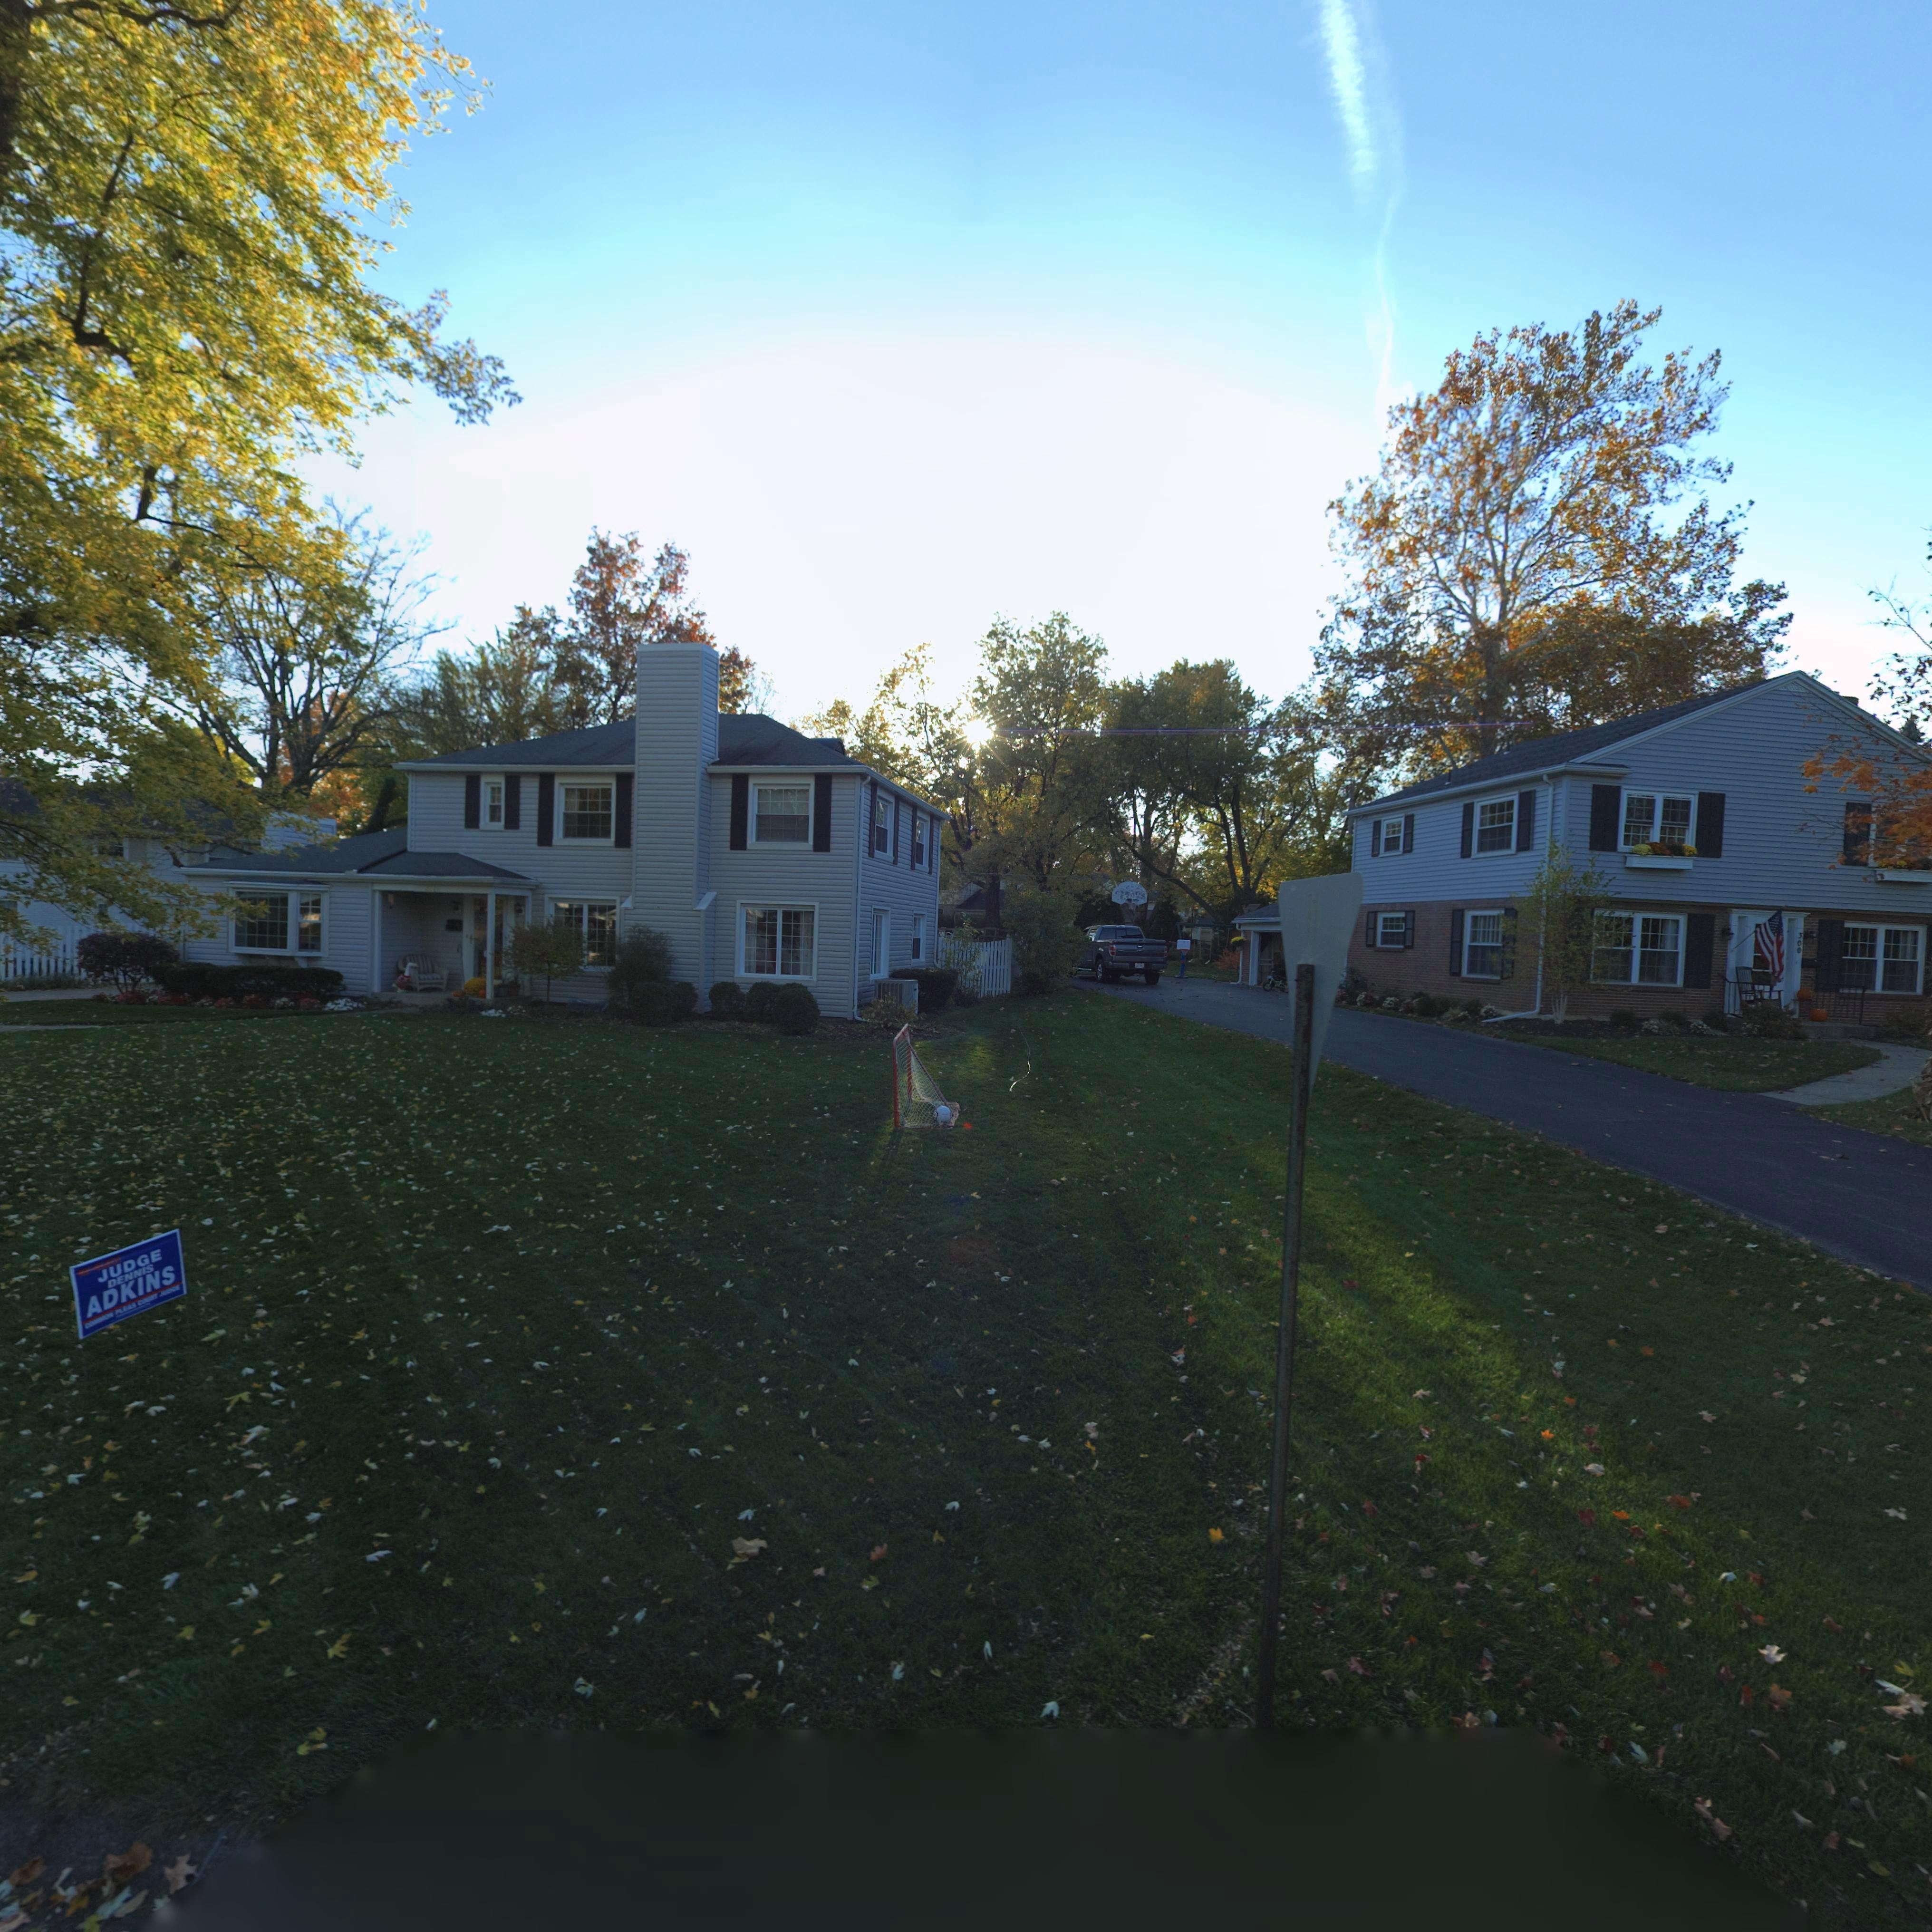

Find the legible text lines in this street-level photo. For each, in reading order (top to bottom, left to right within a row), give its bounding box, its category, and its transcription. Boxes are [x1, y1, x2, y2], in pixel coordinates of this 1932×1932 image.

[1796, 931, 1804, 955] StreetNumber: 300